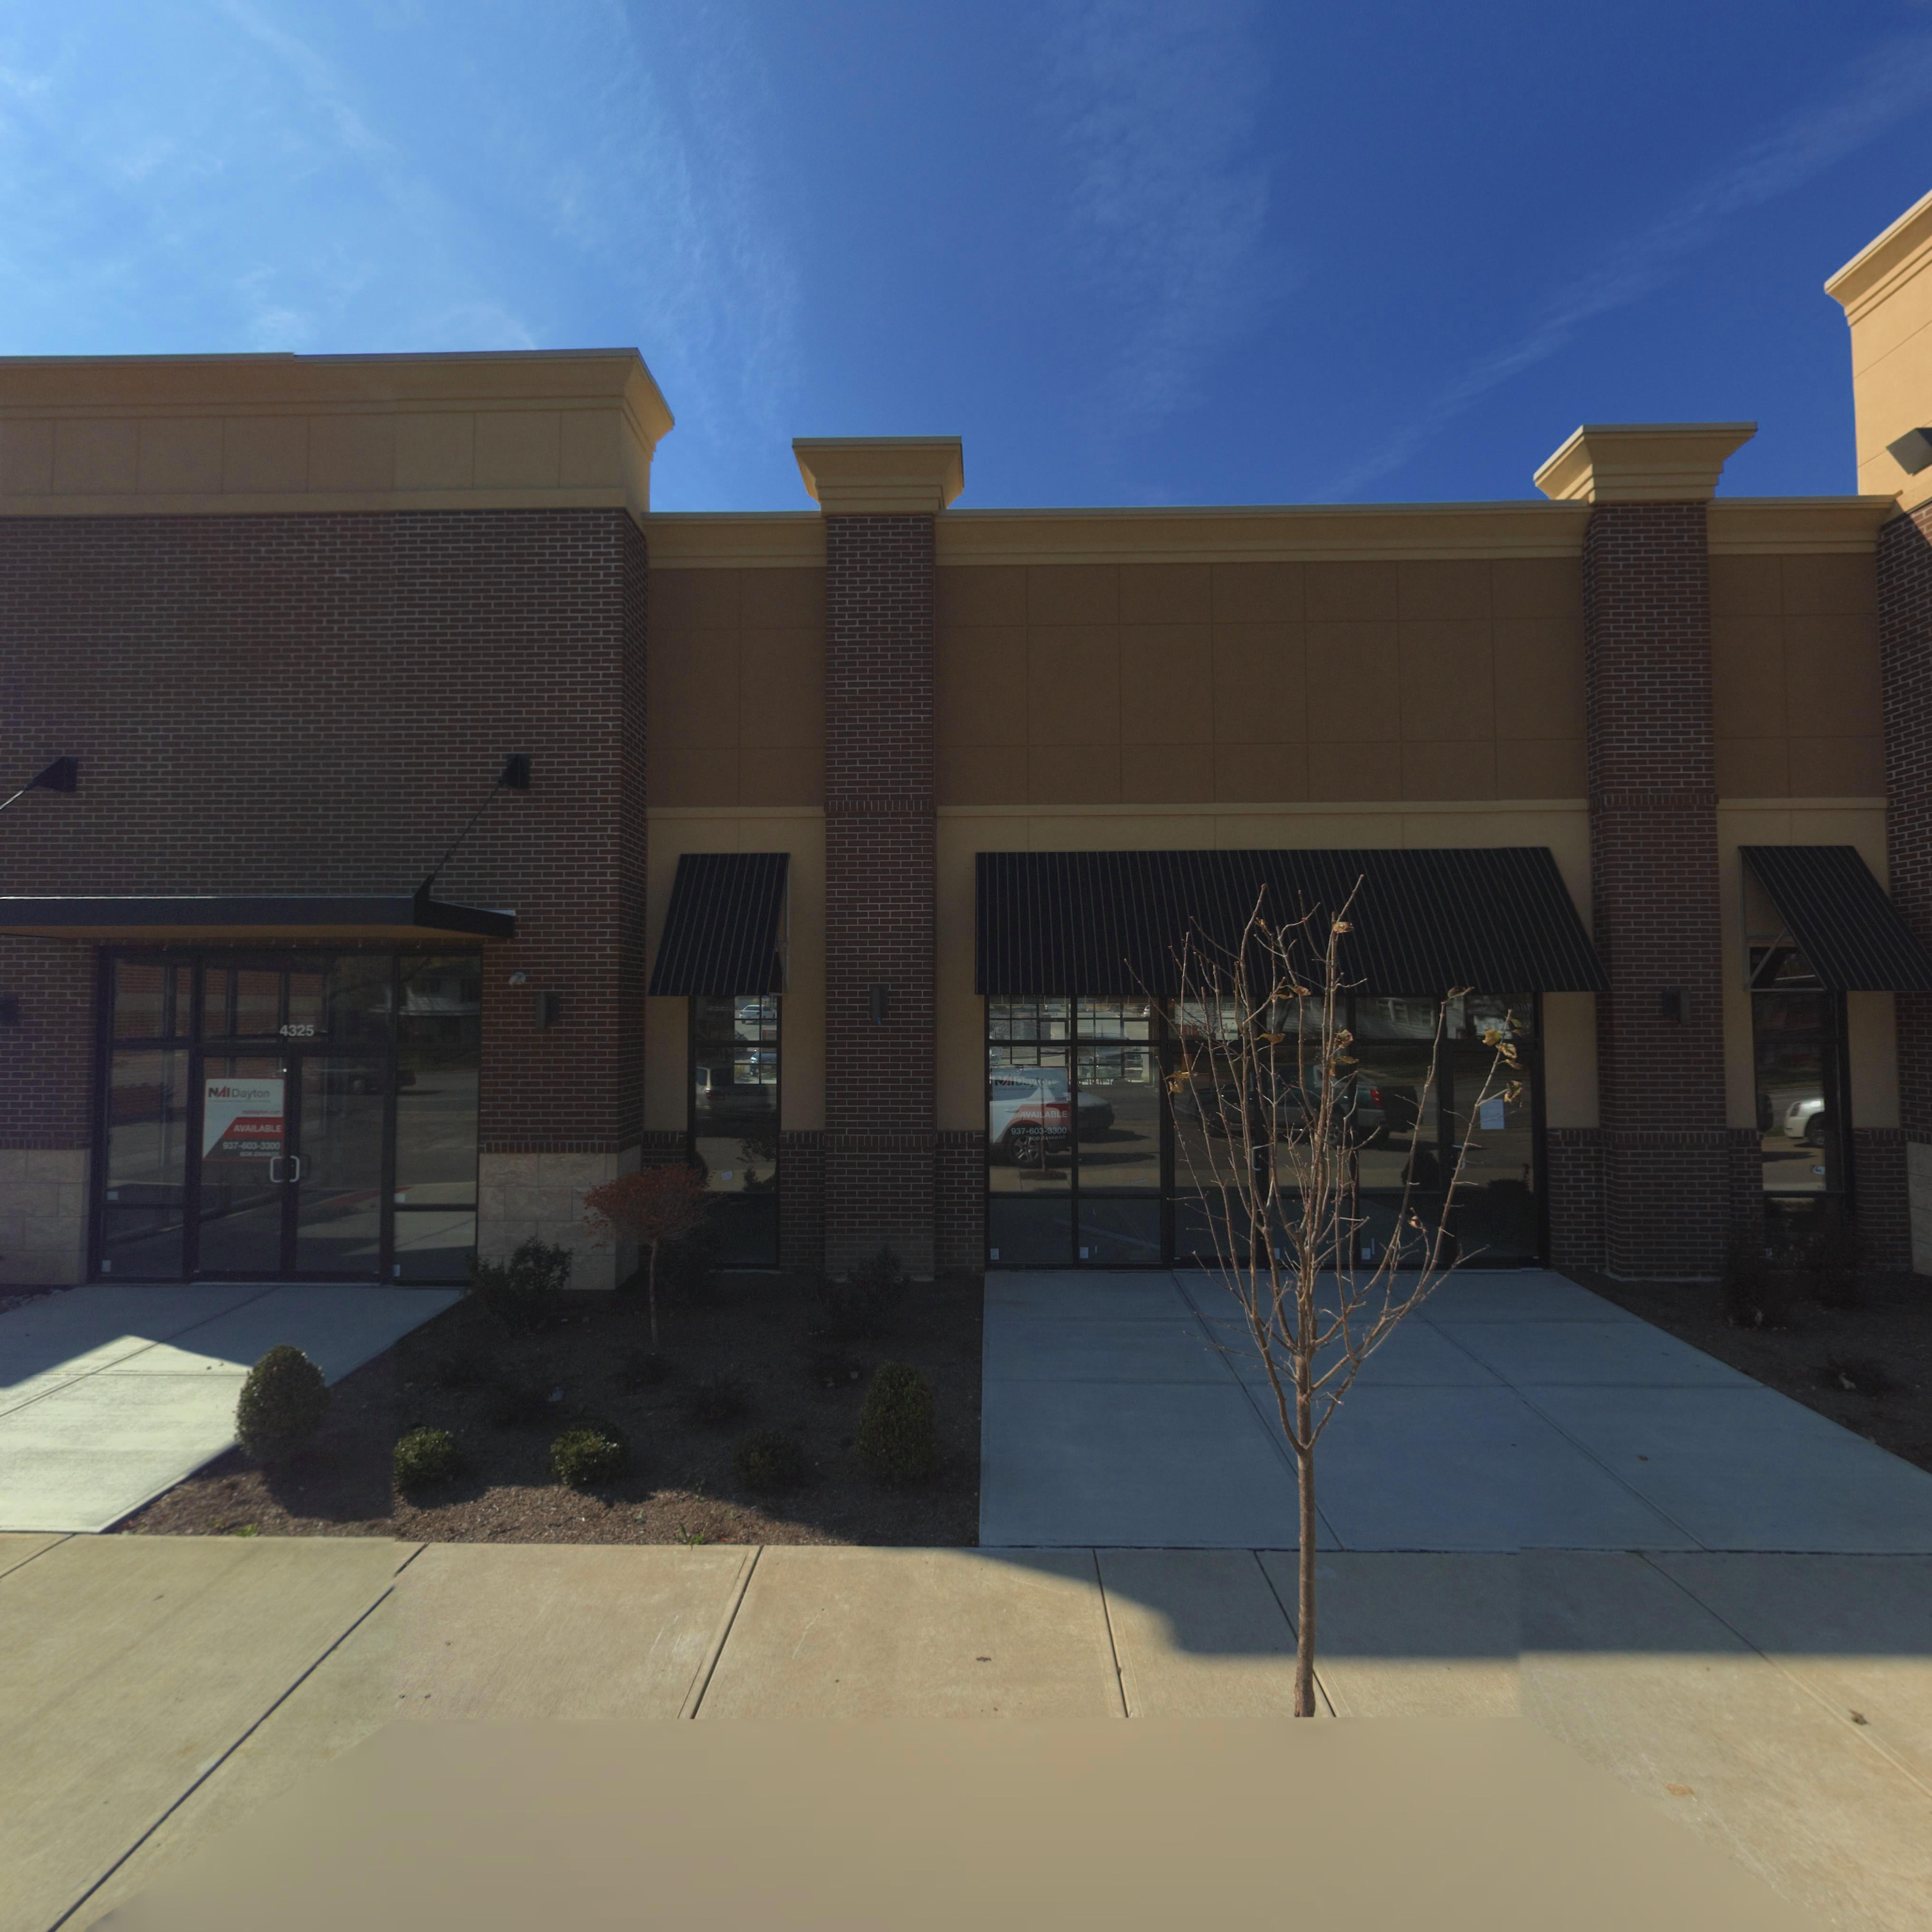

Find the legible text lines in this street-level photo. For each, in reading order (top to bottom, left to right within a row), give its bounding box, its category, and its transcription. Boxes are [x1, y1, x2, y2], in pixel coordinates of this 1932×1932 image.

[278, 1023, 316, 1038] StreetNumber: 4325
[1222, 1021, 1229, 1034] StreetNumber: 1